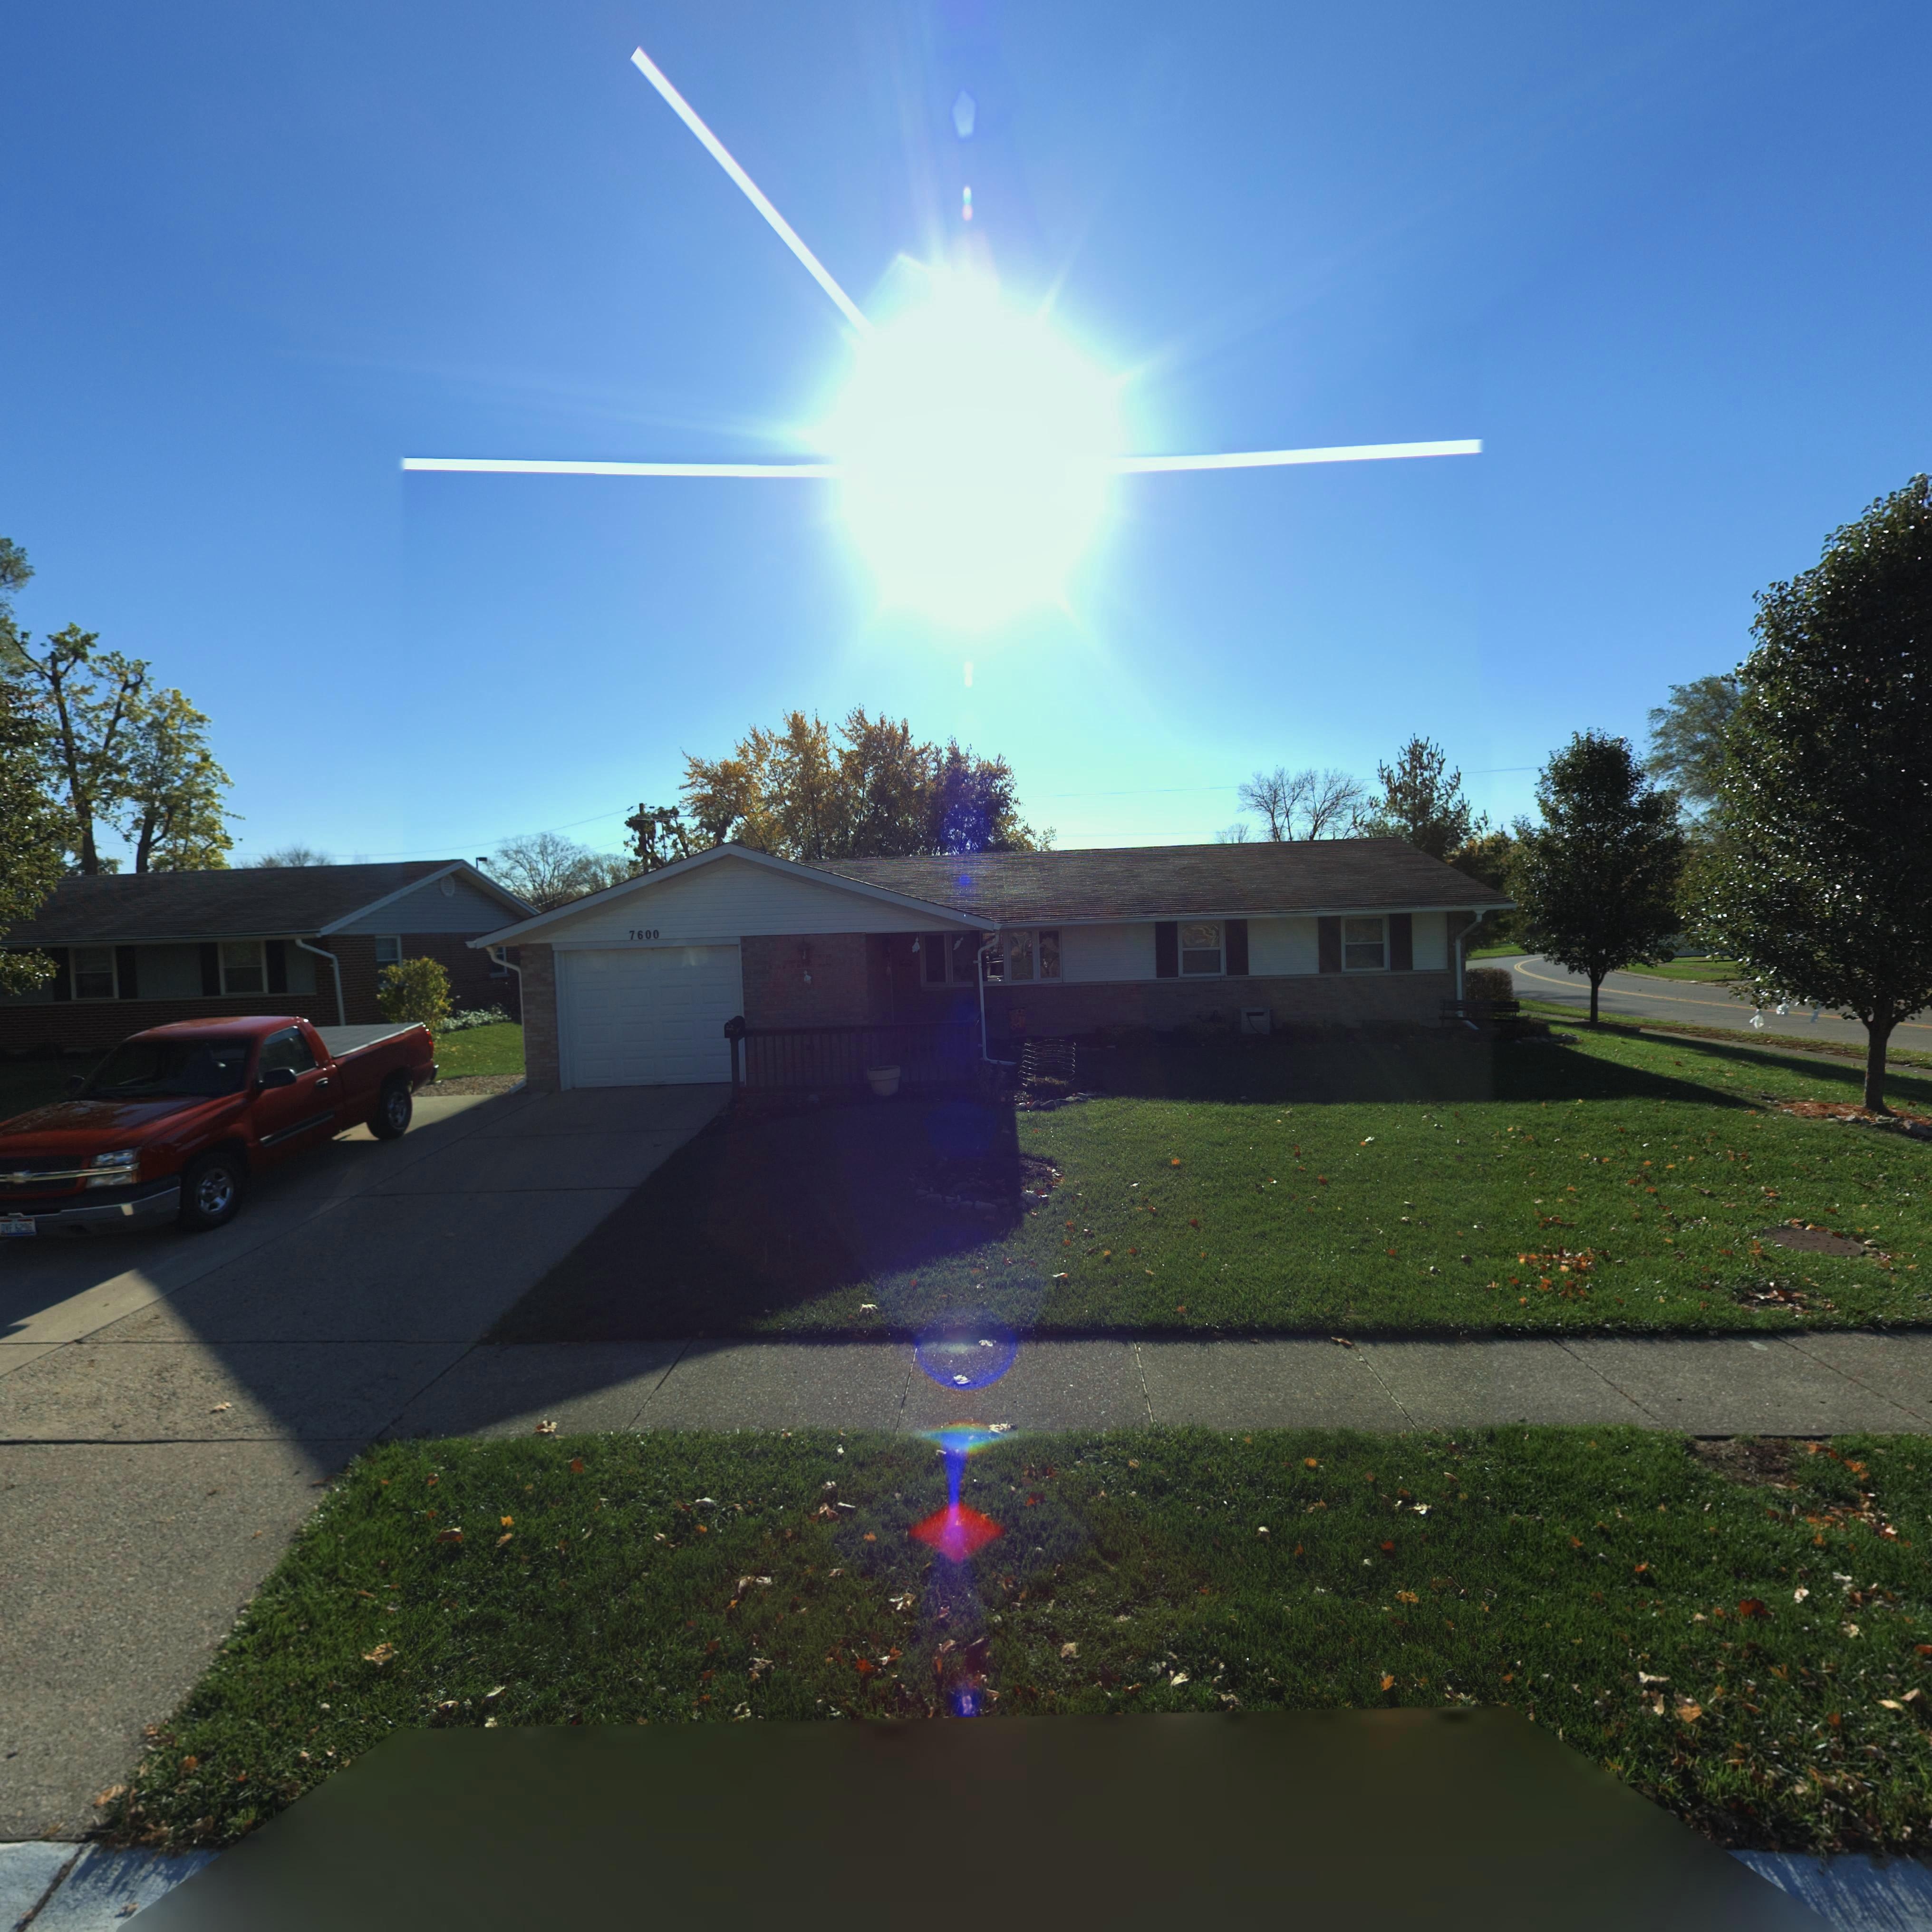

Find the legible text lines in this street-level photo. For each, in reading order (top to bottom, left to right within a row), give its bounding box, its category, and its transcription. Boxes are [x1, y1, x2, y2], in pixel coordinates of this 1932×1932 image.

[628, 928, 660, 941] StreetNumber: 7600